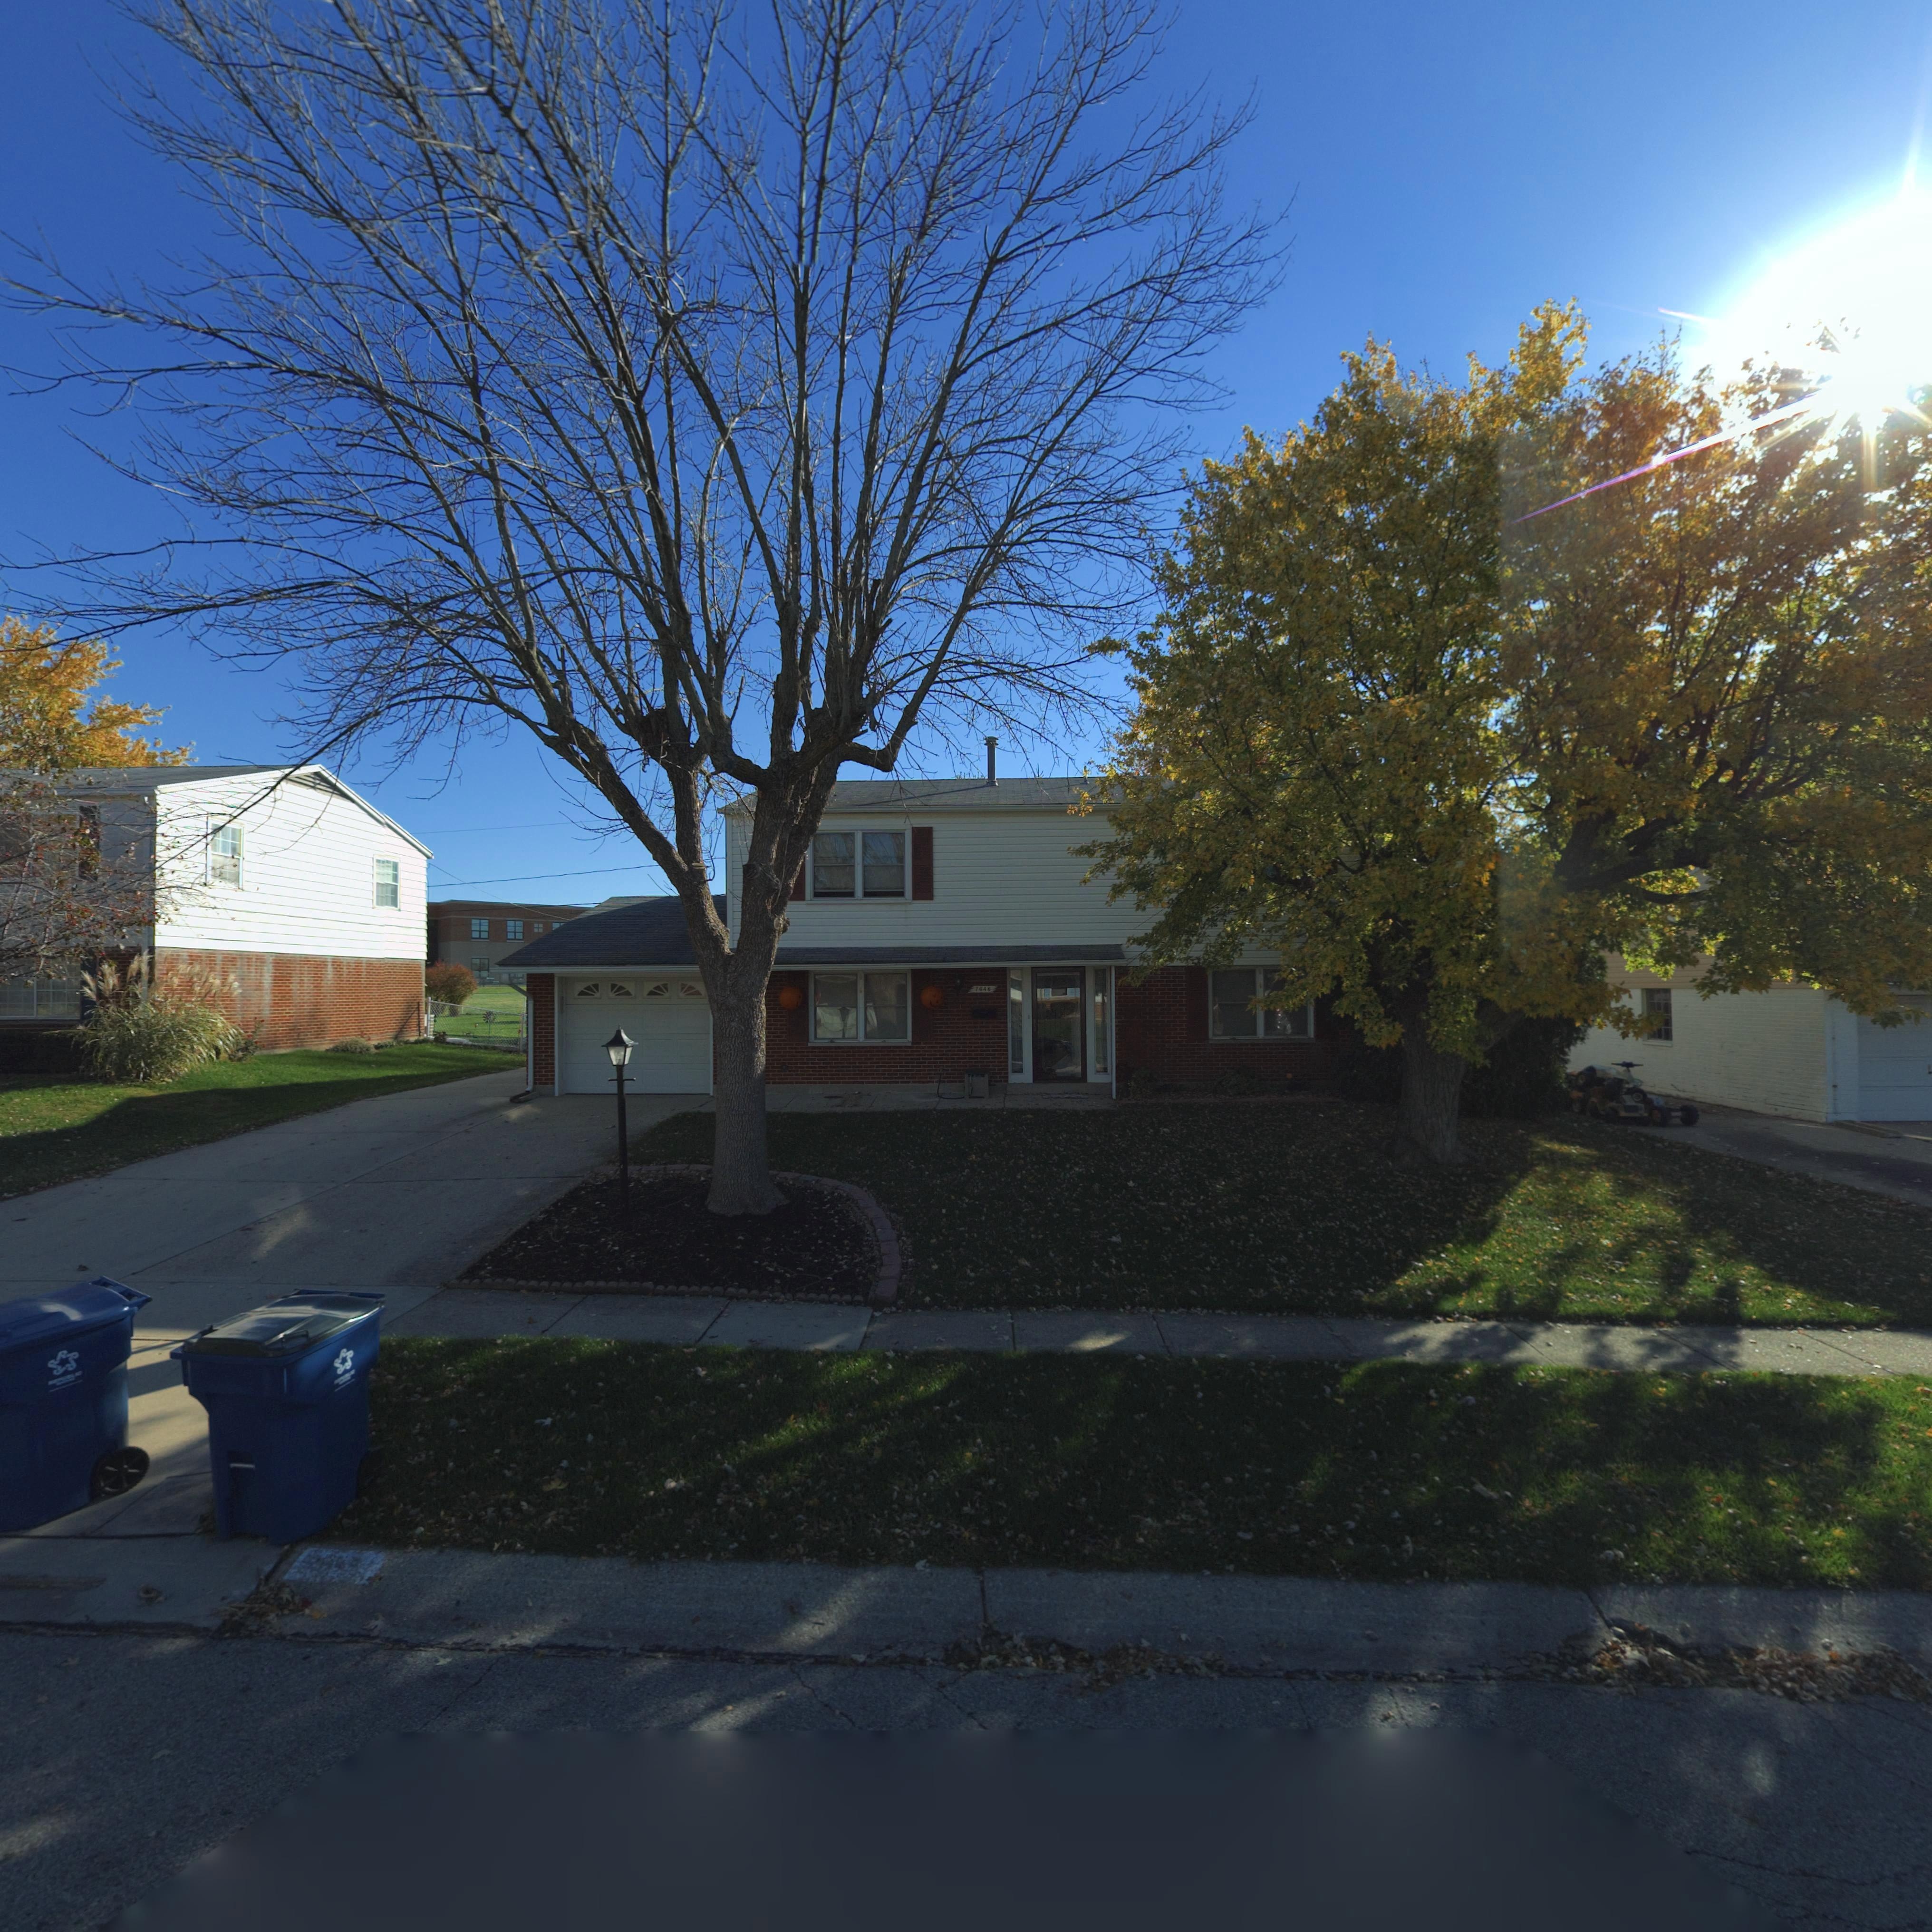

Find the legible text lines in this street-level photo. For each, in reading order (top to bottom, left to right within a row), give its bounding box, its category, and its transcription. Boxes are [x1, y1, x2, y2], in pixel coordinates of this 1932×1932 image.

[975, 986, 991, 992] StreetNumber: 7648